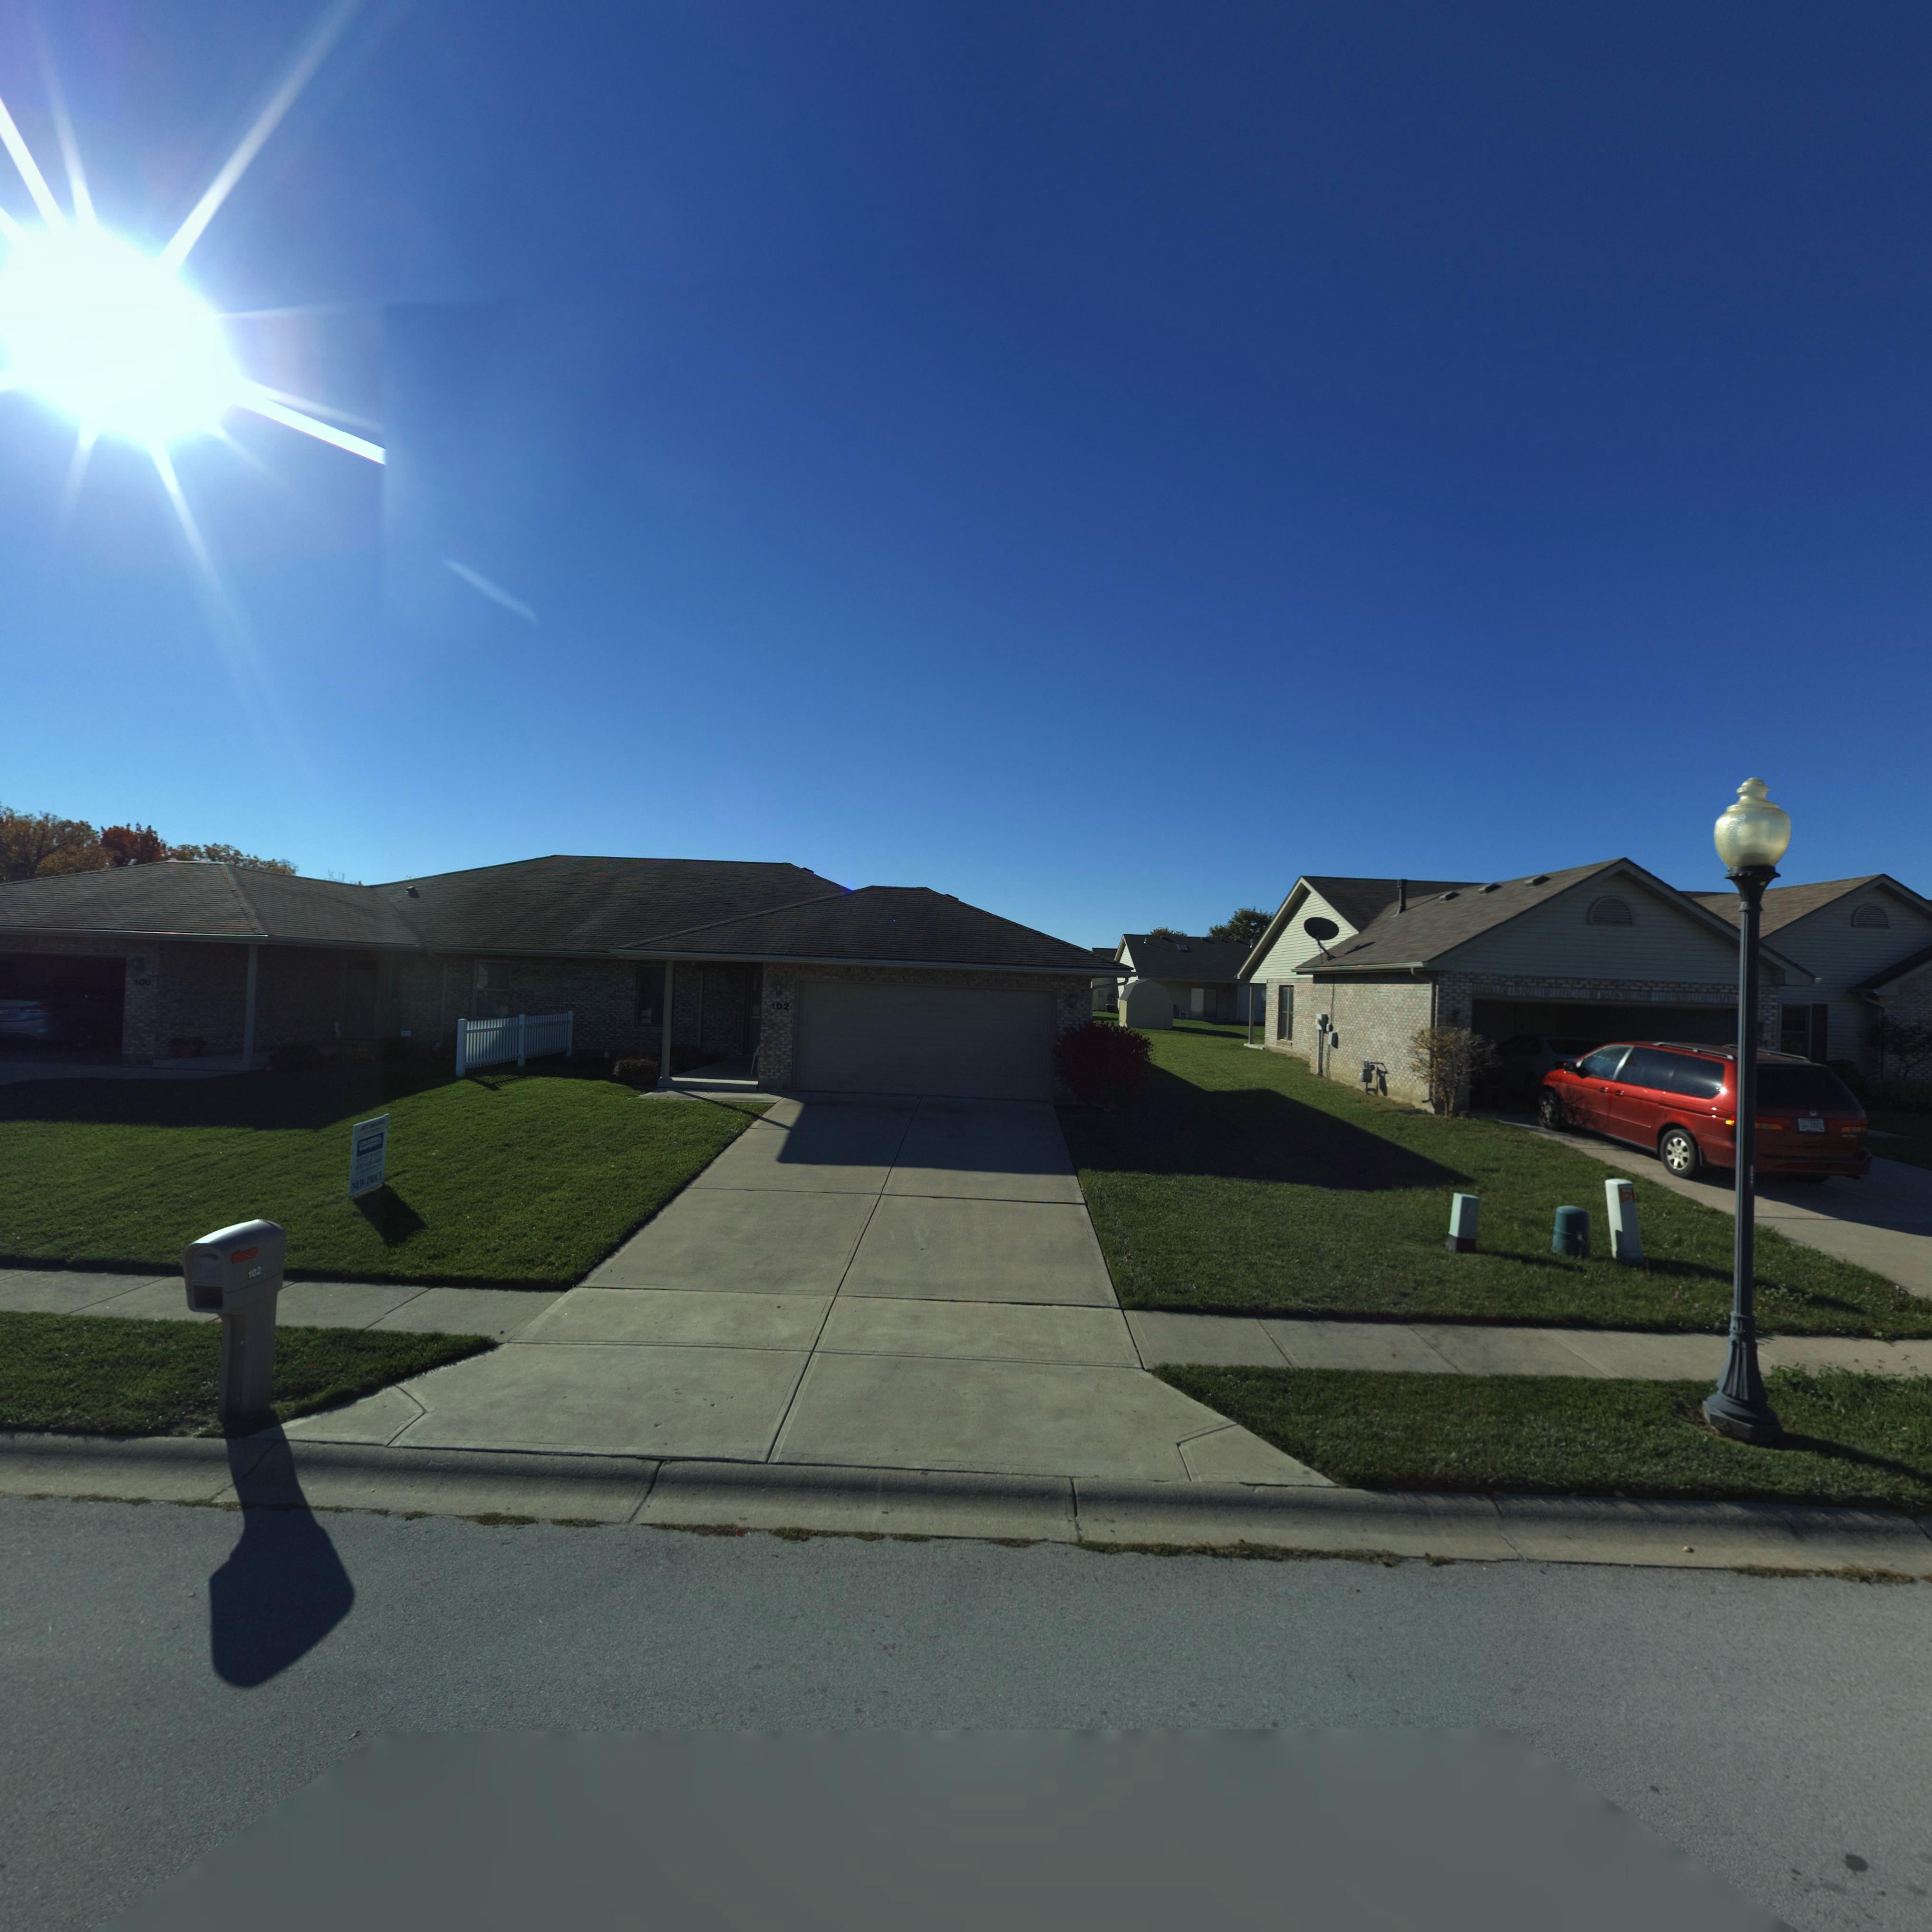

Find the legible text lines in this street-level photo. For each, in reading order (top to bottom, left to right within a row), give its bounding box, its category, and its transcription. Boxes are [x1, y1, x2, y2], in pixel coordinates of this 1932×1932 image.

[133, 977, 152, 986] StreetNumber: 100
[770, 1001, 790, 1011] StreetNumber: 102
[247, 1264, 262, 1281] StreetNumber: 102